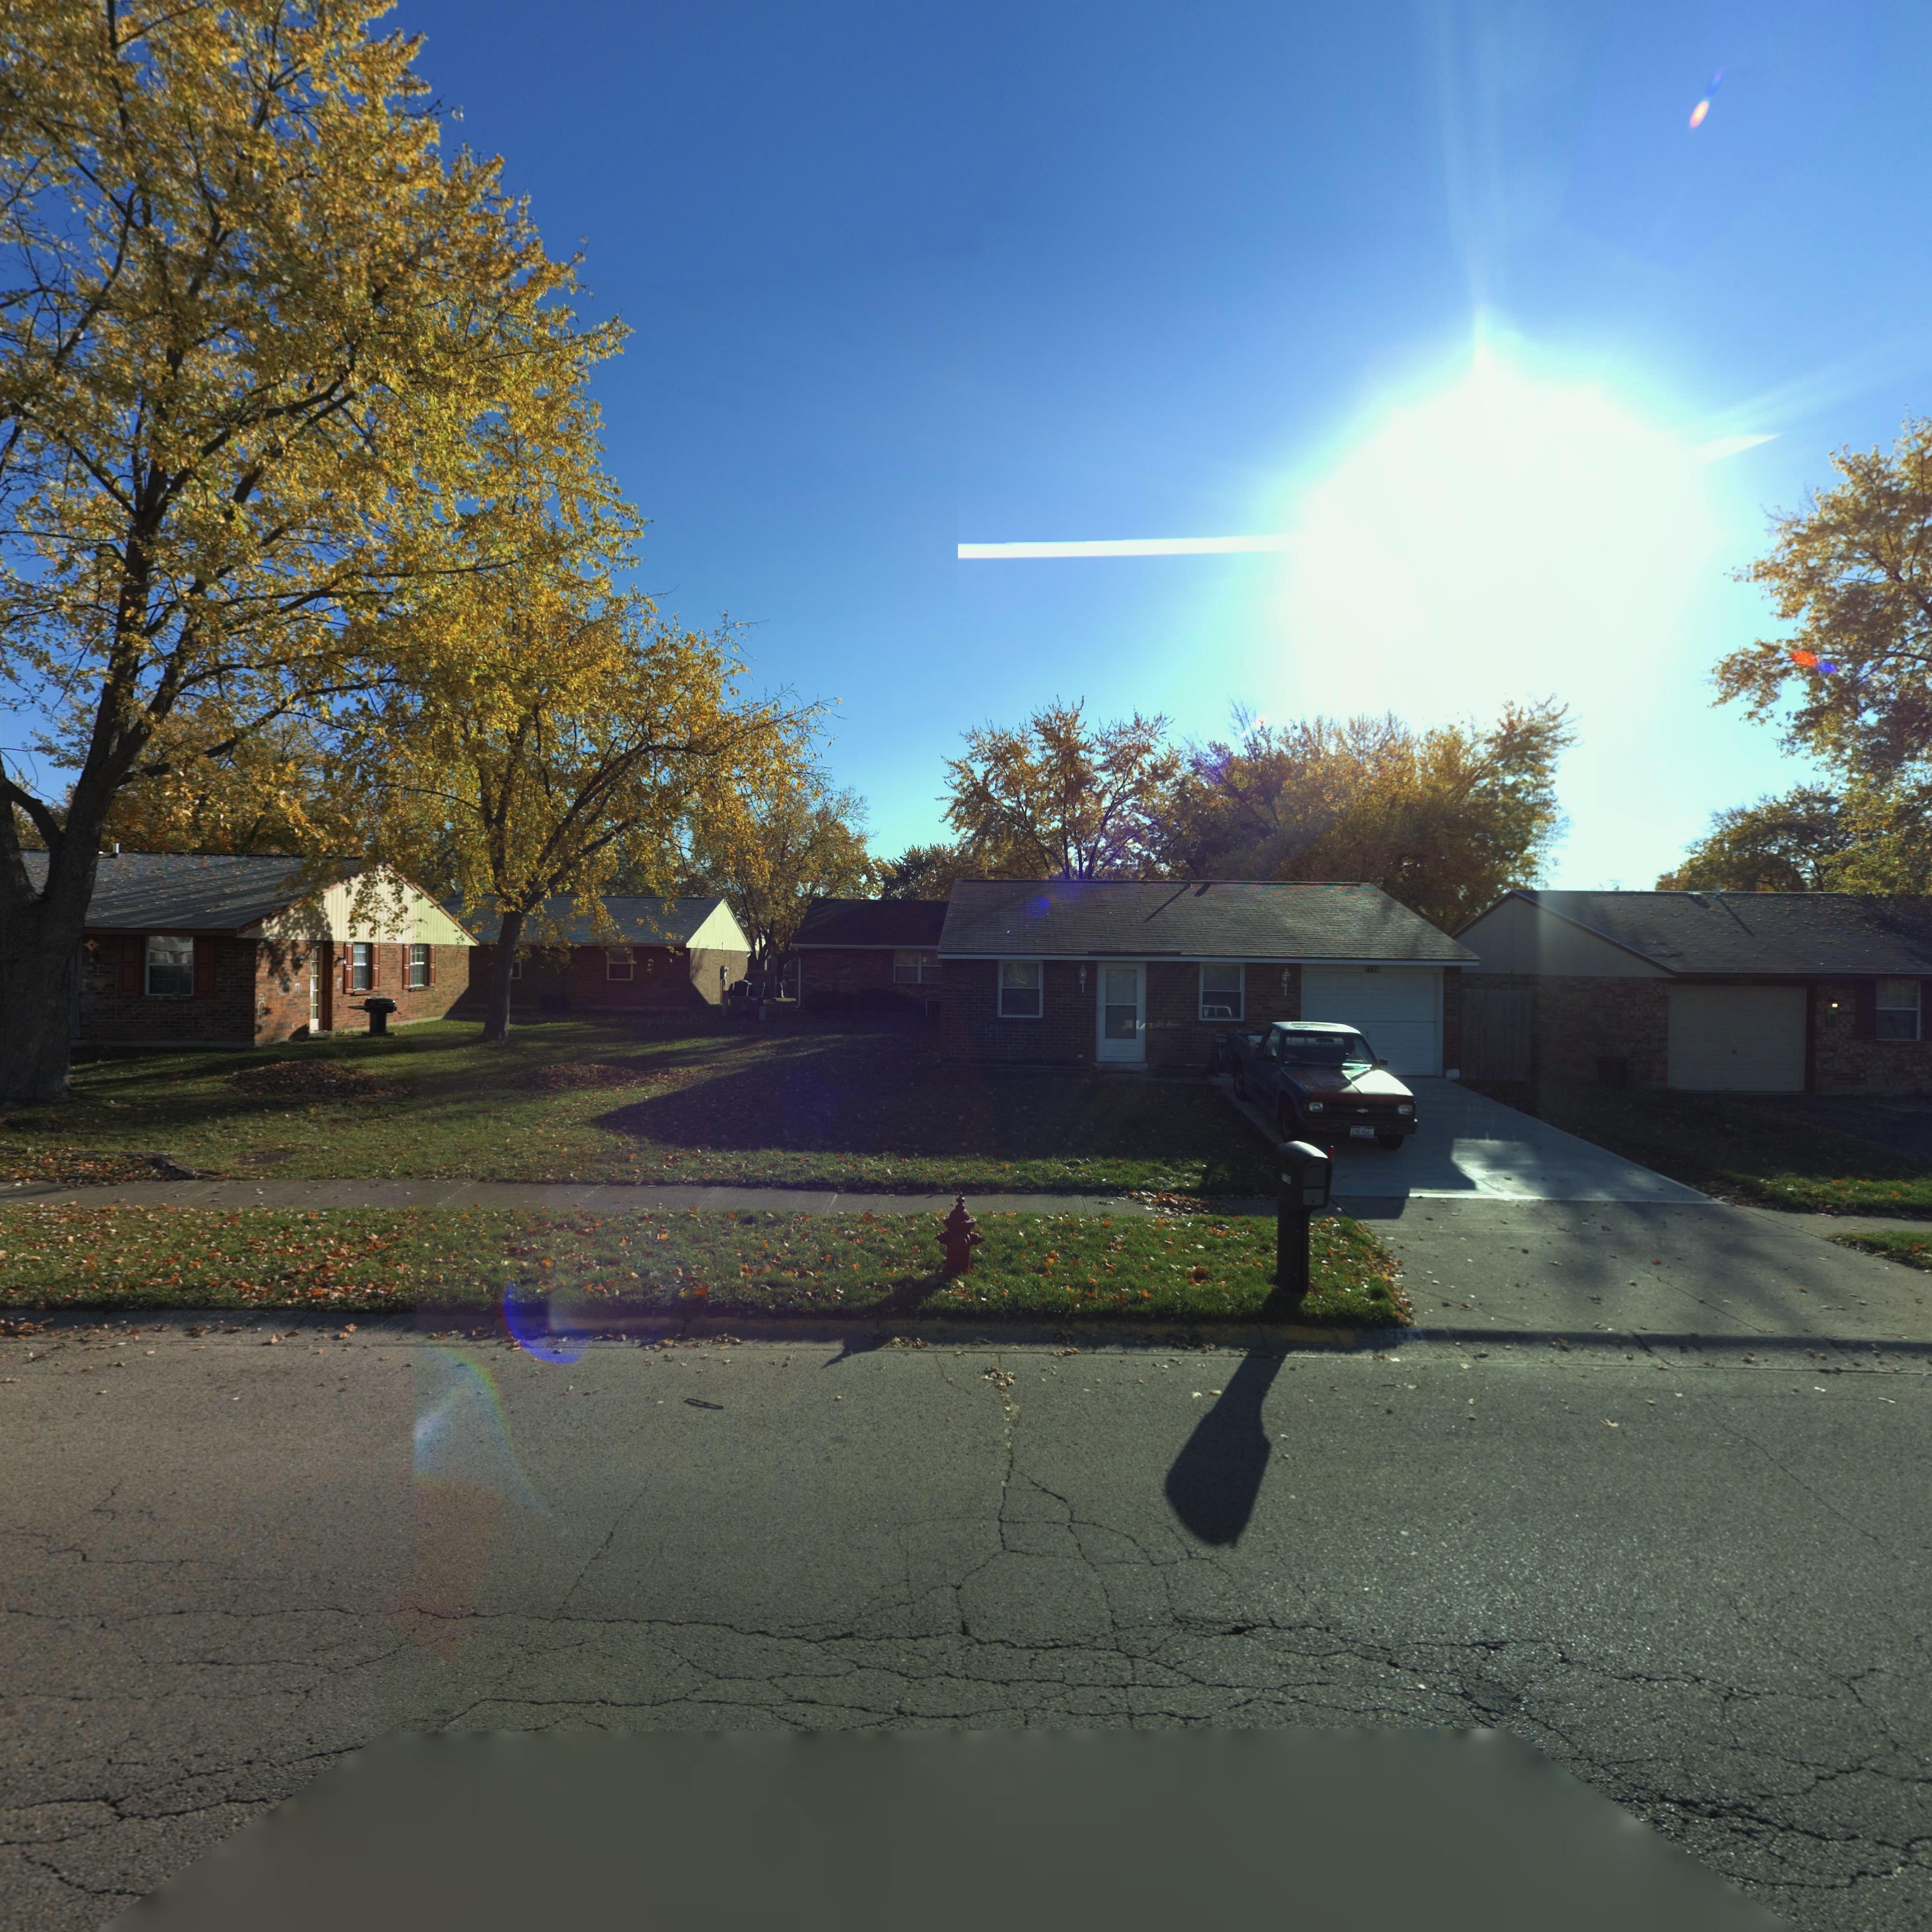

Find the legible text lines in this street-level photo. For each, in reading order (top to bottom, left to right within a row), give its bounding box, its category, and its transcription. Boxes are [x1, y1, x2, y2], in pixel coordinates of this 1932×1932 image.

[1364, 966, 1382, 974] StreetNumber: *72*
[1280, 1171, 1293, 1186] StreetNumber: *7**
[1375, 1330, 1424, 1344] StreetNumber: 7**8